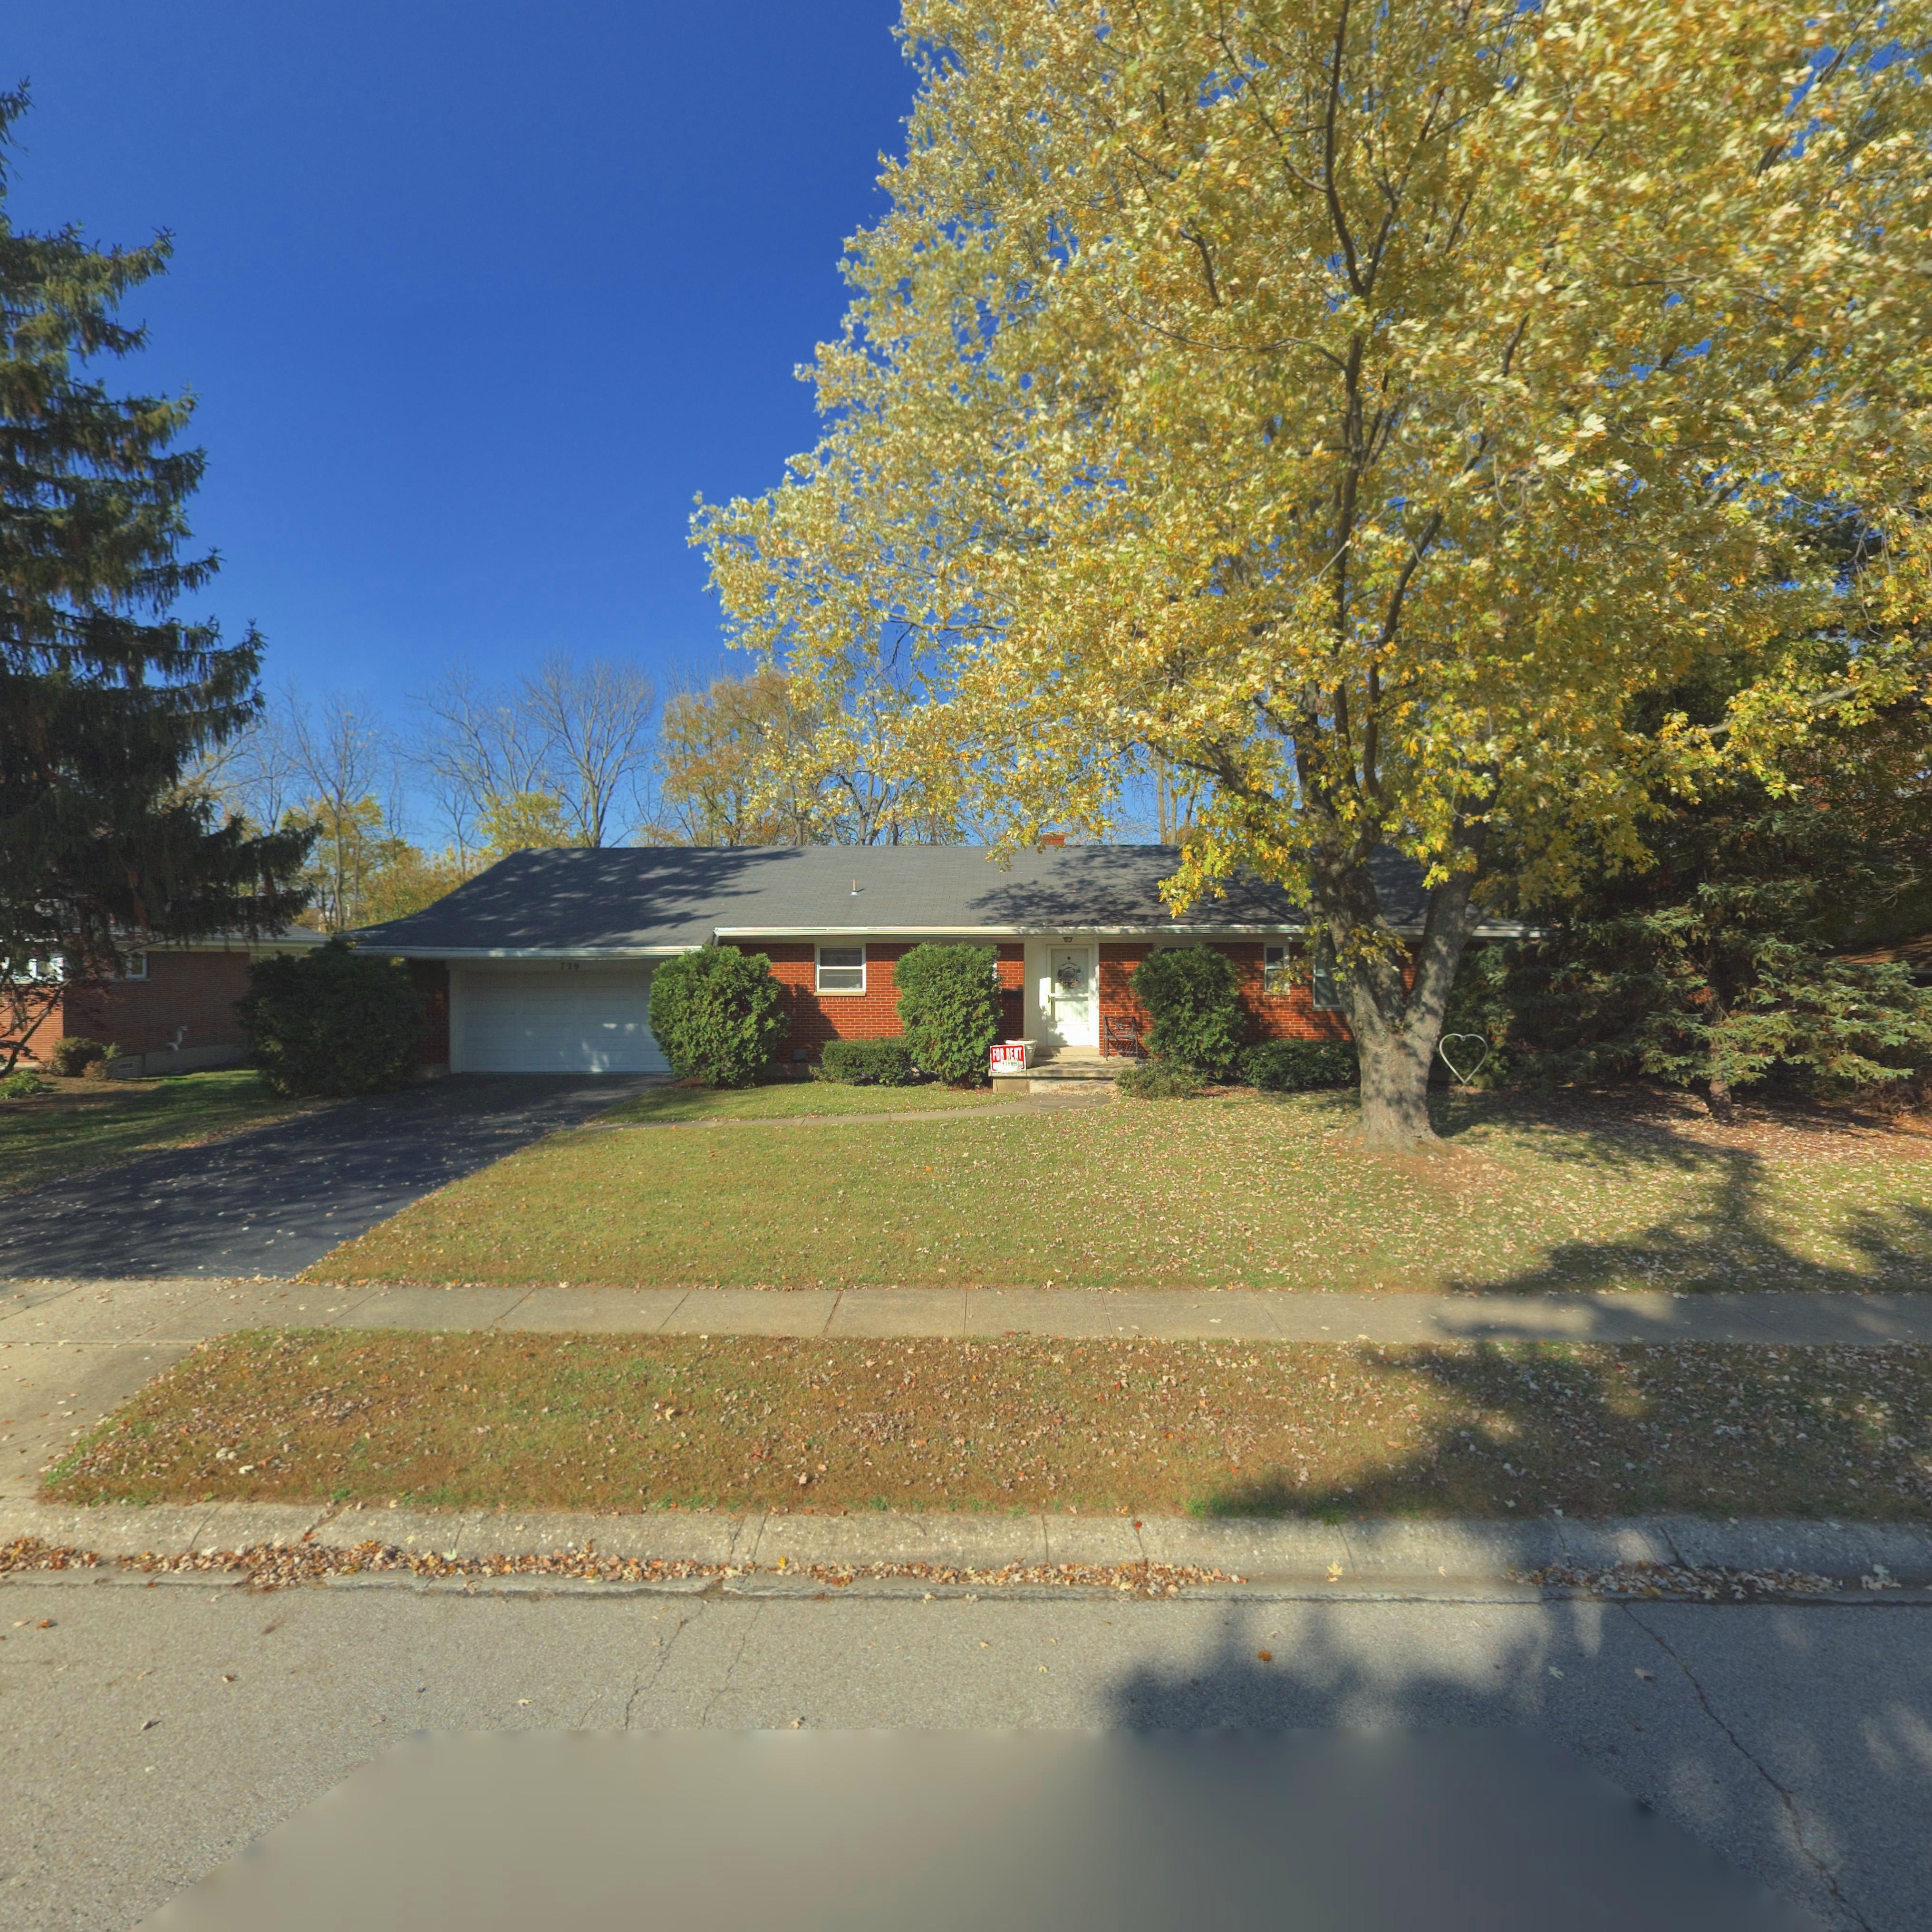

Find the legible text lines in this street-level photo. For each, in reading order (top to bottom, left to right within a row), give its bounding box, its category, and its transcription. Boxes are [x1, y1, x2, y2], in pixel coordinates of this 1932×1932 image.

[560, 961, 580, 971] StreetNumber: 729